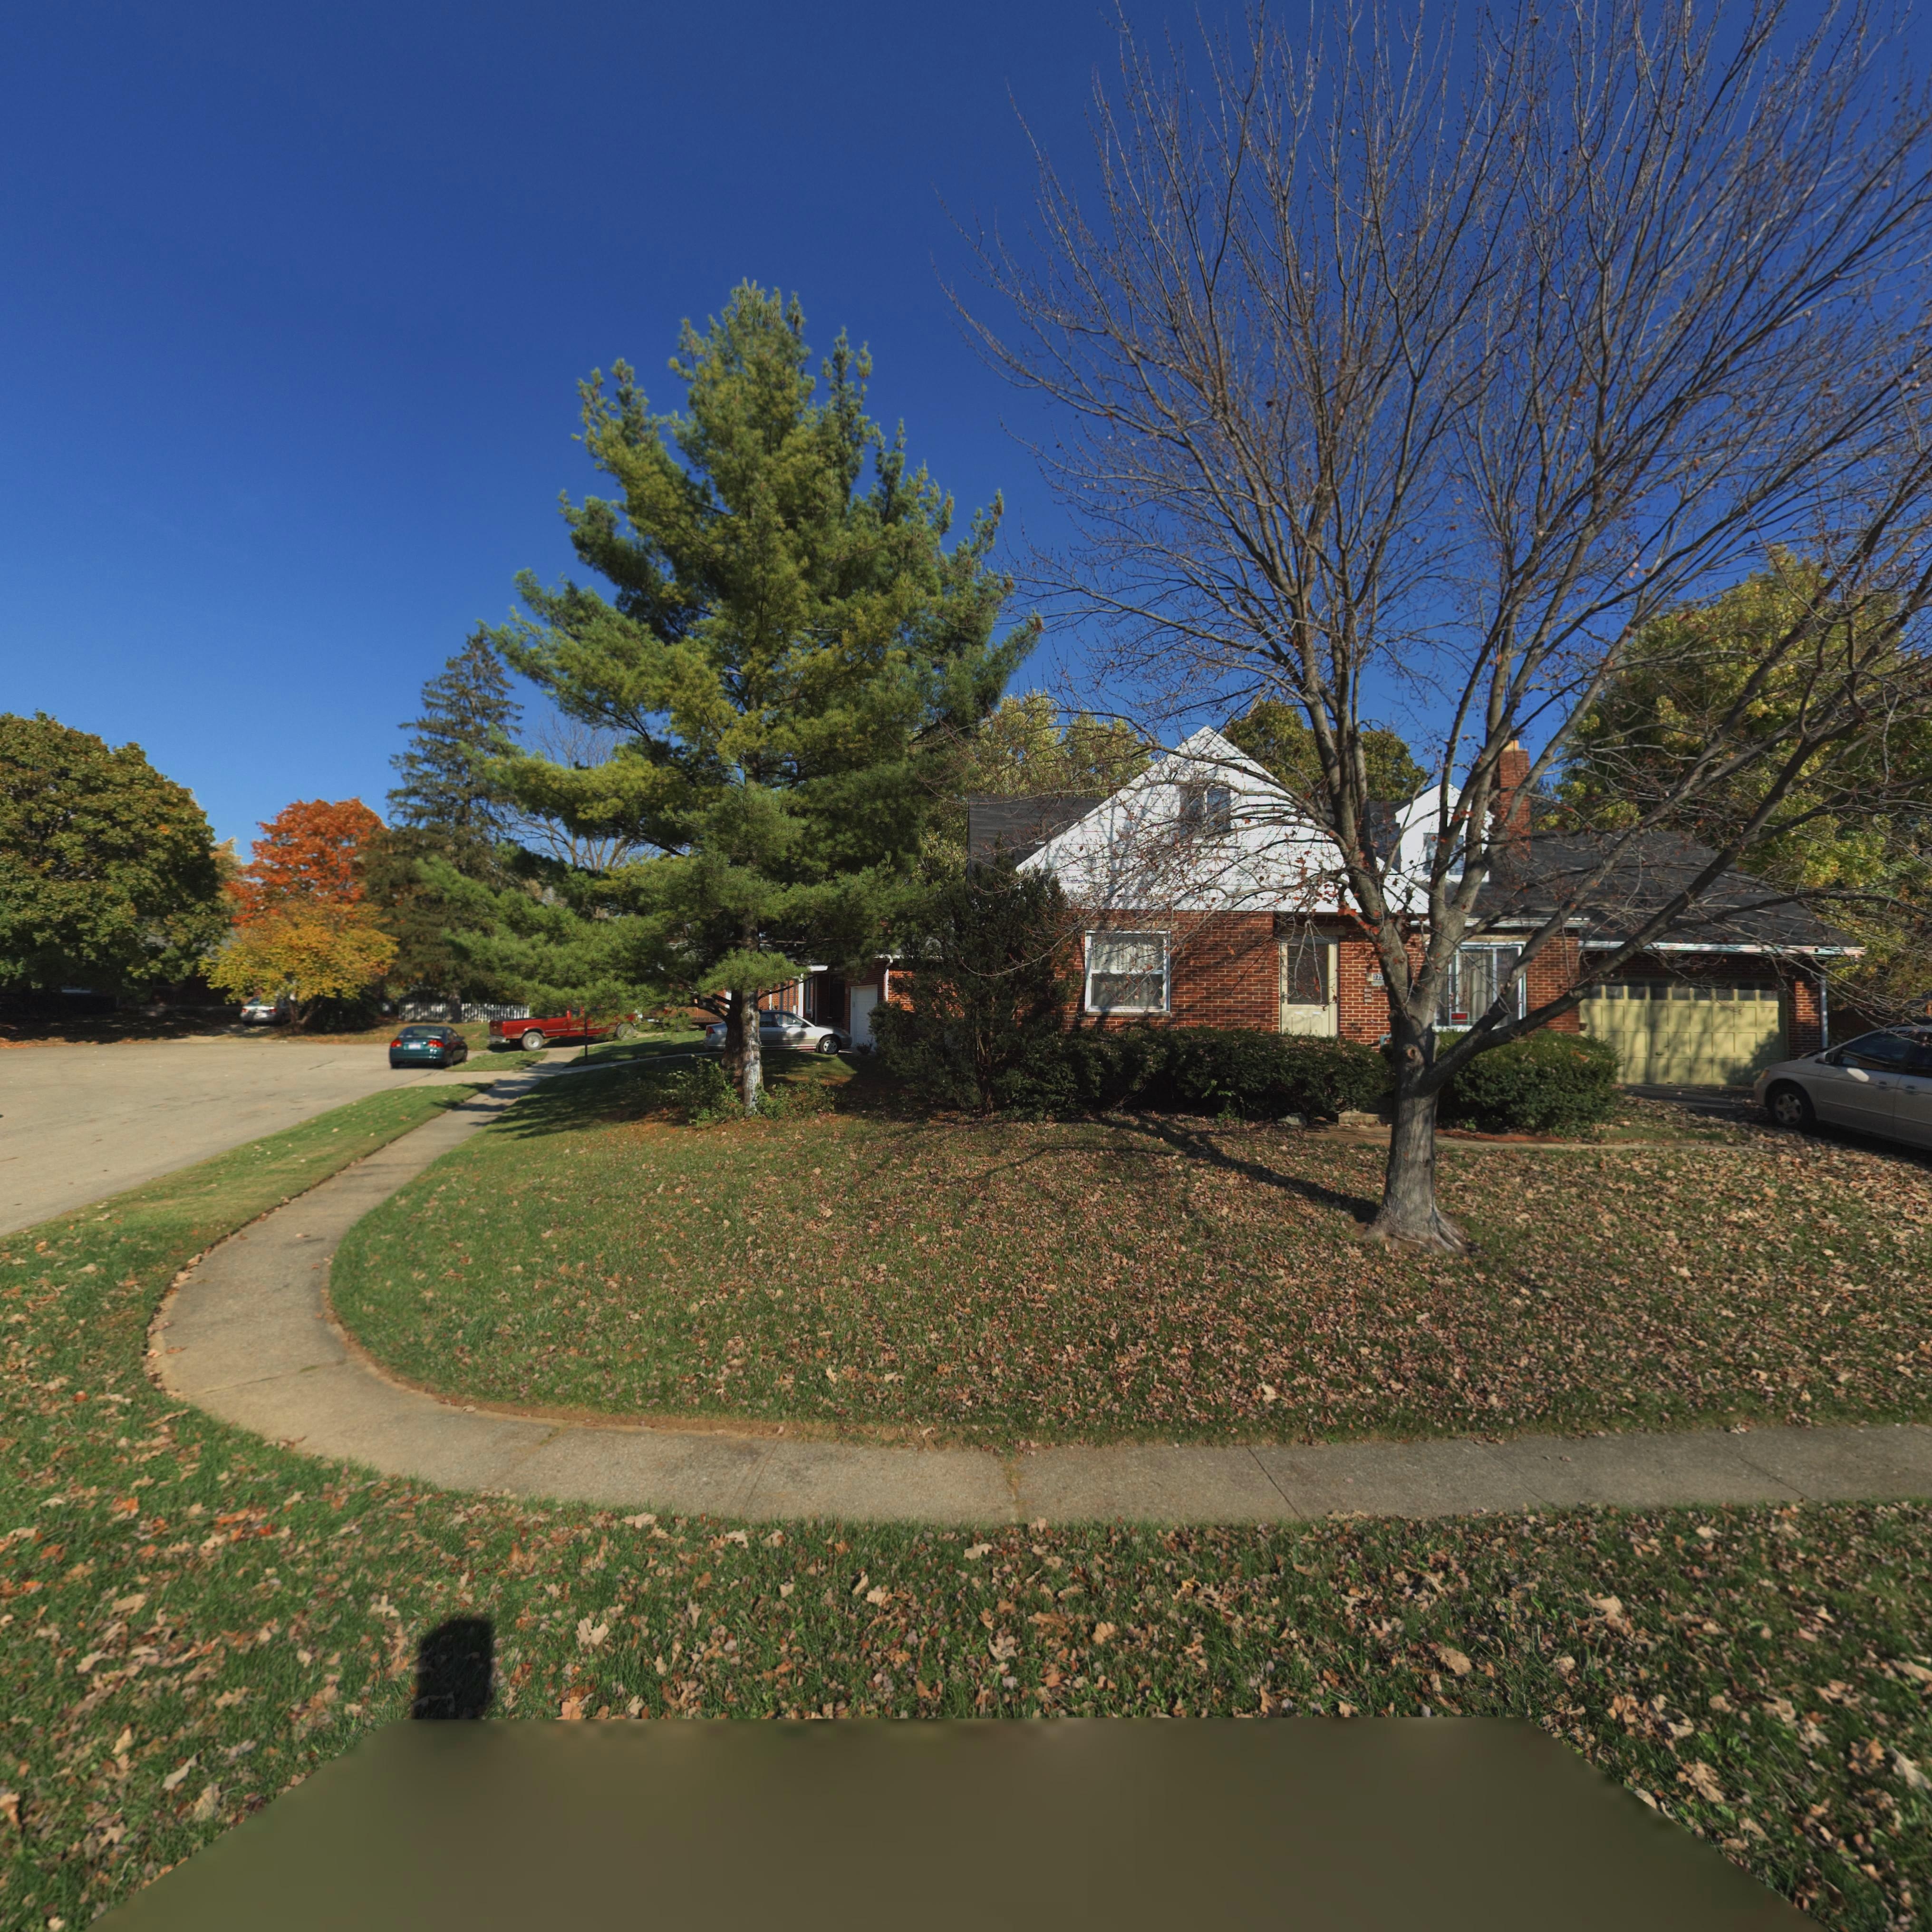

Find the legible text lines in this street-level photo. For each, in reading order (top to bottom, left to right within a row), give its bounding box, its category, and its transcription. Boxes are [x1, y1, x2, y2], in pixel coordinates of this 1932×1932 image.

[1373, 974, 1383, 980] StreetNumber: 375